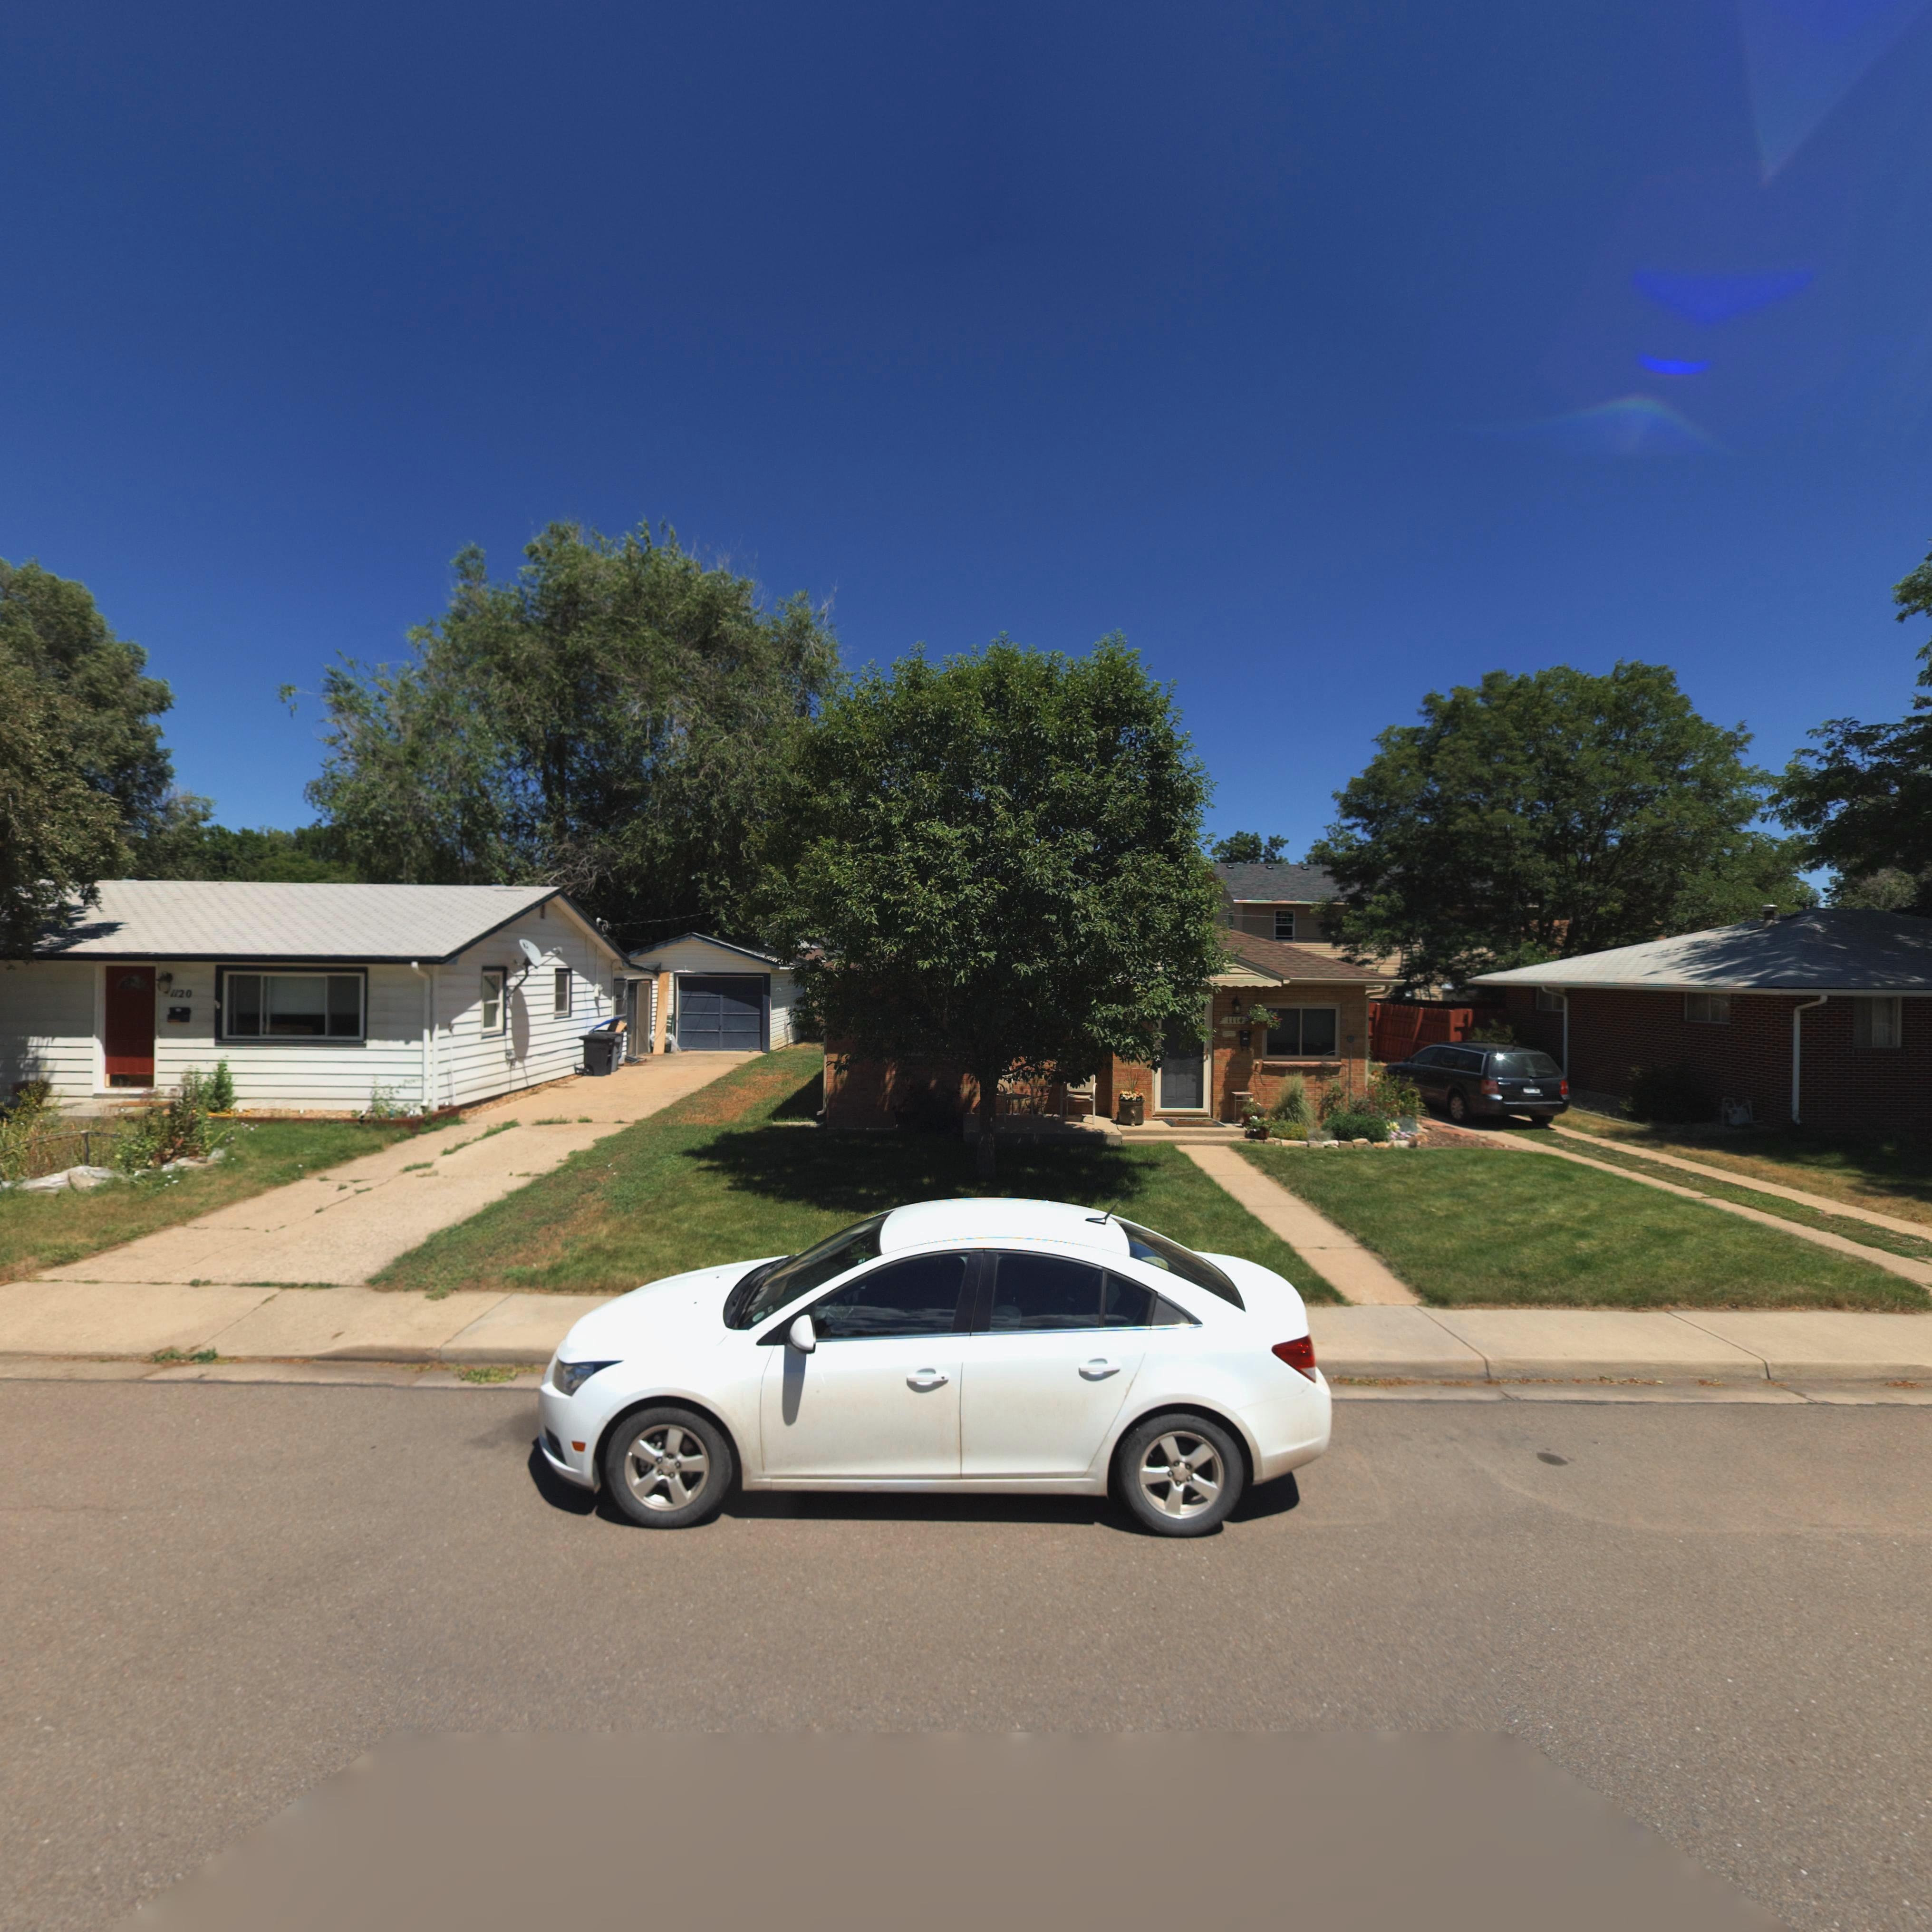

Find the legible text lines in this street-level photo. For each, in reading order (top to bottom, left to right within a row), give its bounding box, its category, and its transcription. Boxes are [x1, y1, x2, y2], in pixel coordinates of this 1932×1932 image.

[170, 989, 192, 998] StreetNumber: 1120
[1227, 1017, 1243, 1023] StreetNumber: 1114